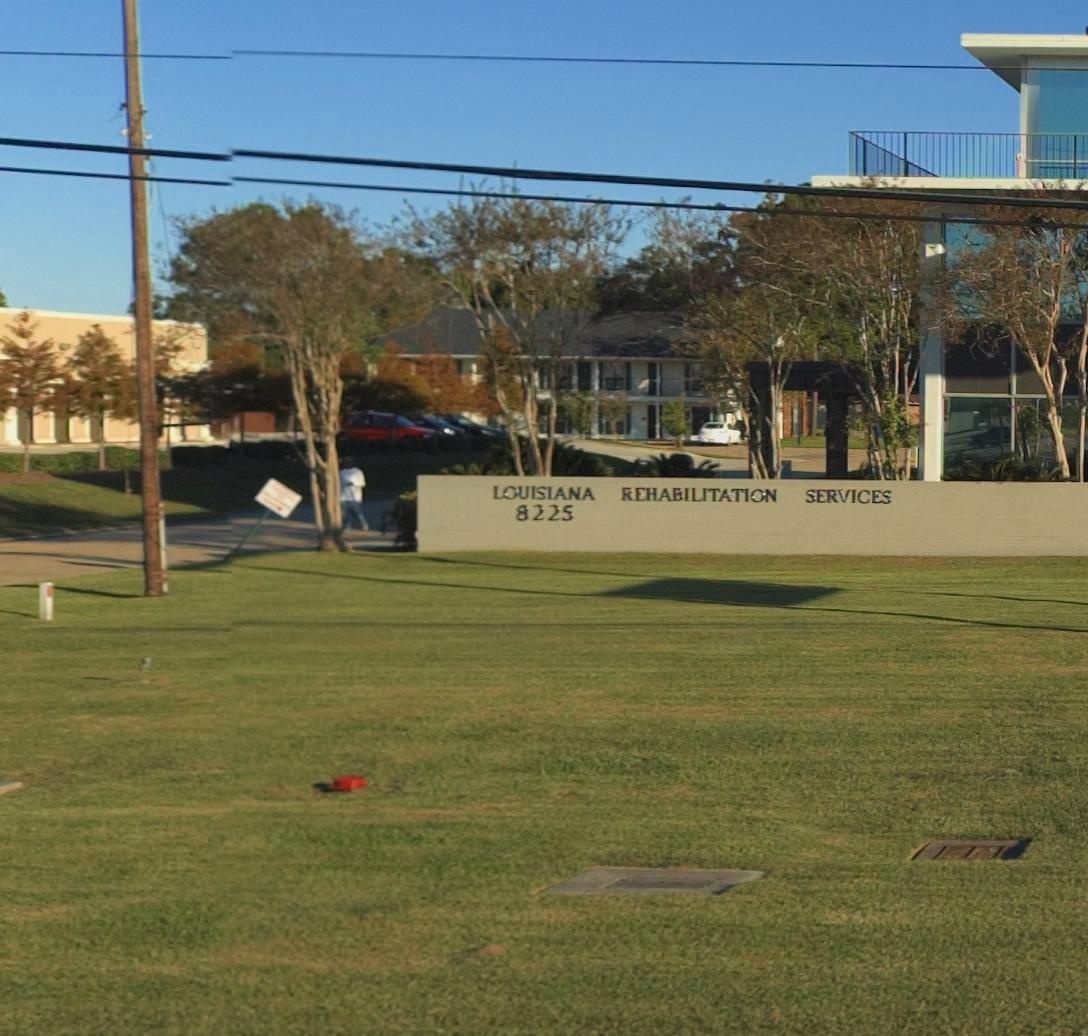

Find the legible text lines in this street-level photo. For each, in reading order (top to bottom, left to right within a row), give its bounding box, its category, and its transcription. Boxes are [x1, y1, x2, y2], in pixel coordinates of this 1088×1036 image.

[490, 482, 895, 507] BusinessName: LOUISIANA REHABILATION SERVICES
[514, 502, 576, 523] StreetNumber: 8225